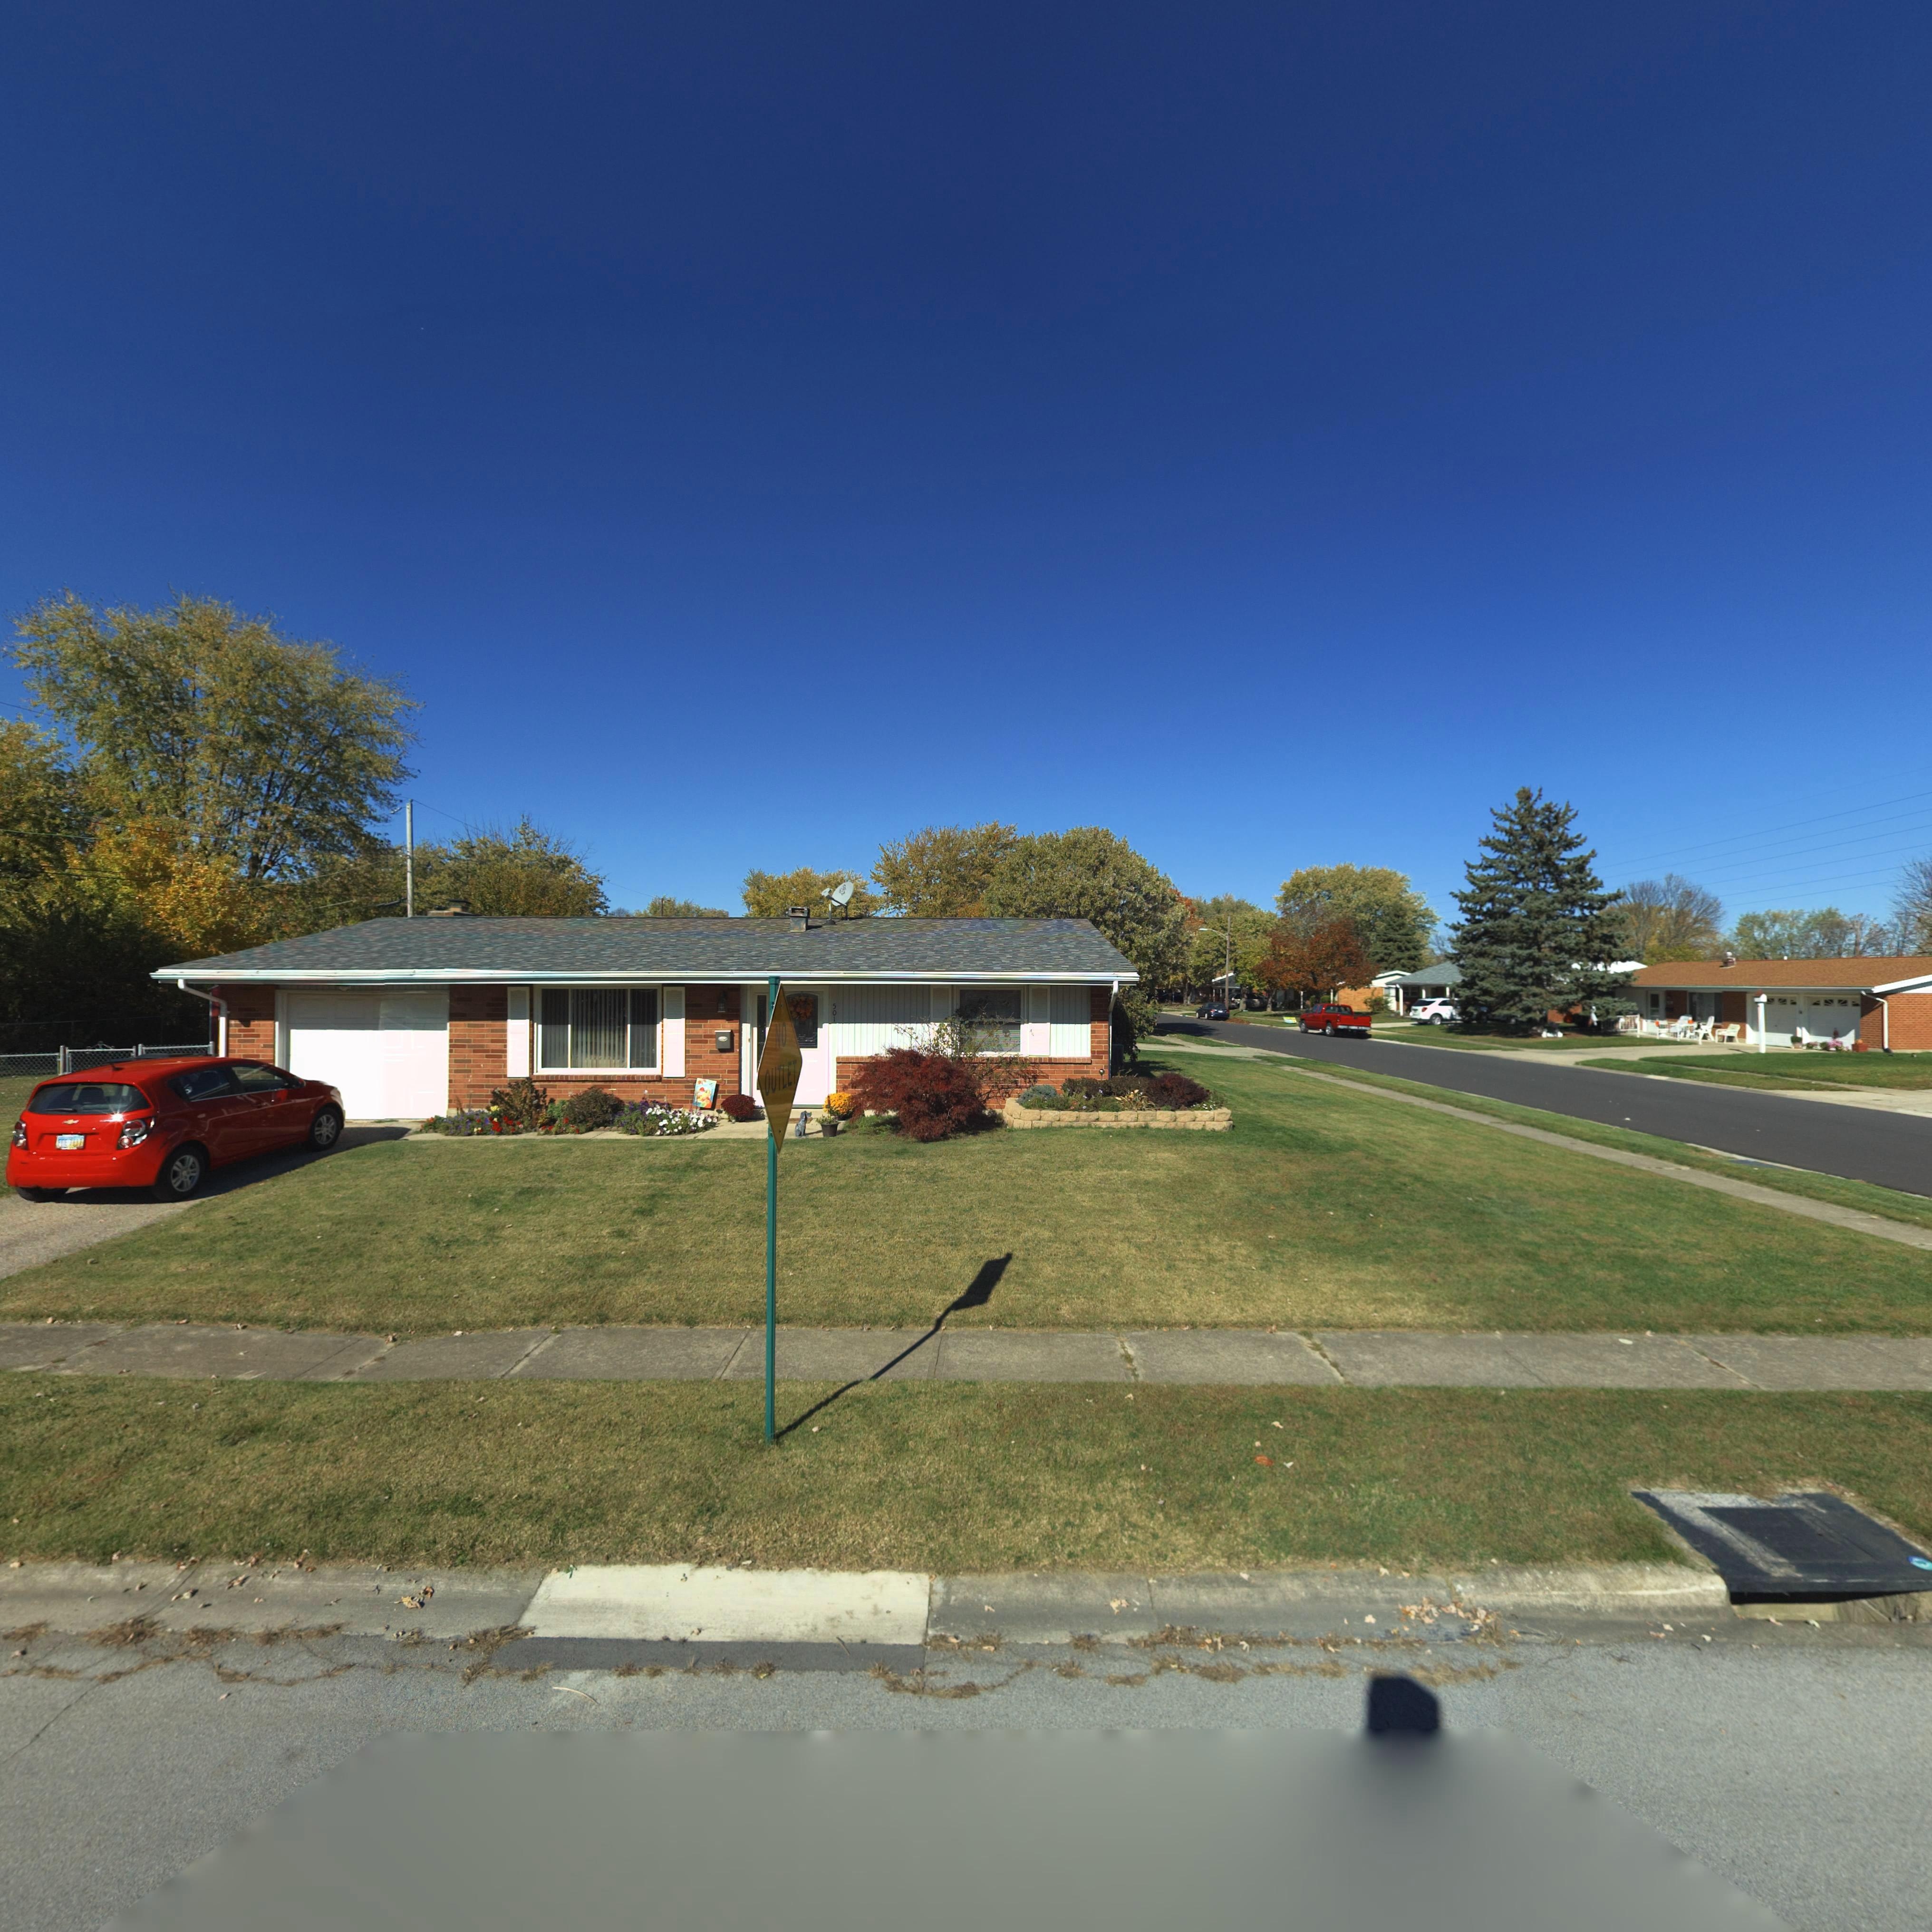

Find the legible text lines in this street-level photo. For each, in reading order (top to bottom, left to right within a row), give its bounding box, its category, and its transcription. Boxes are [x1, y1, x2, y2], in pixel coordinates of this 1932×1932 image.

[832, 1003, 837, 1022] StreetNumber: 501